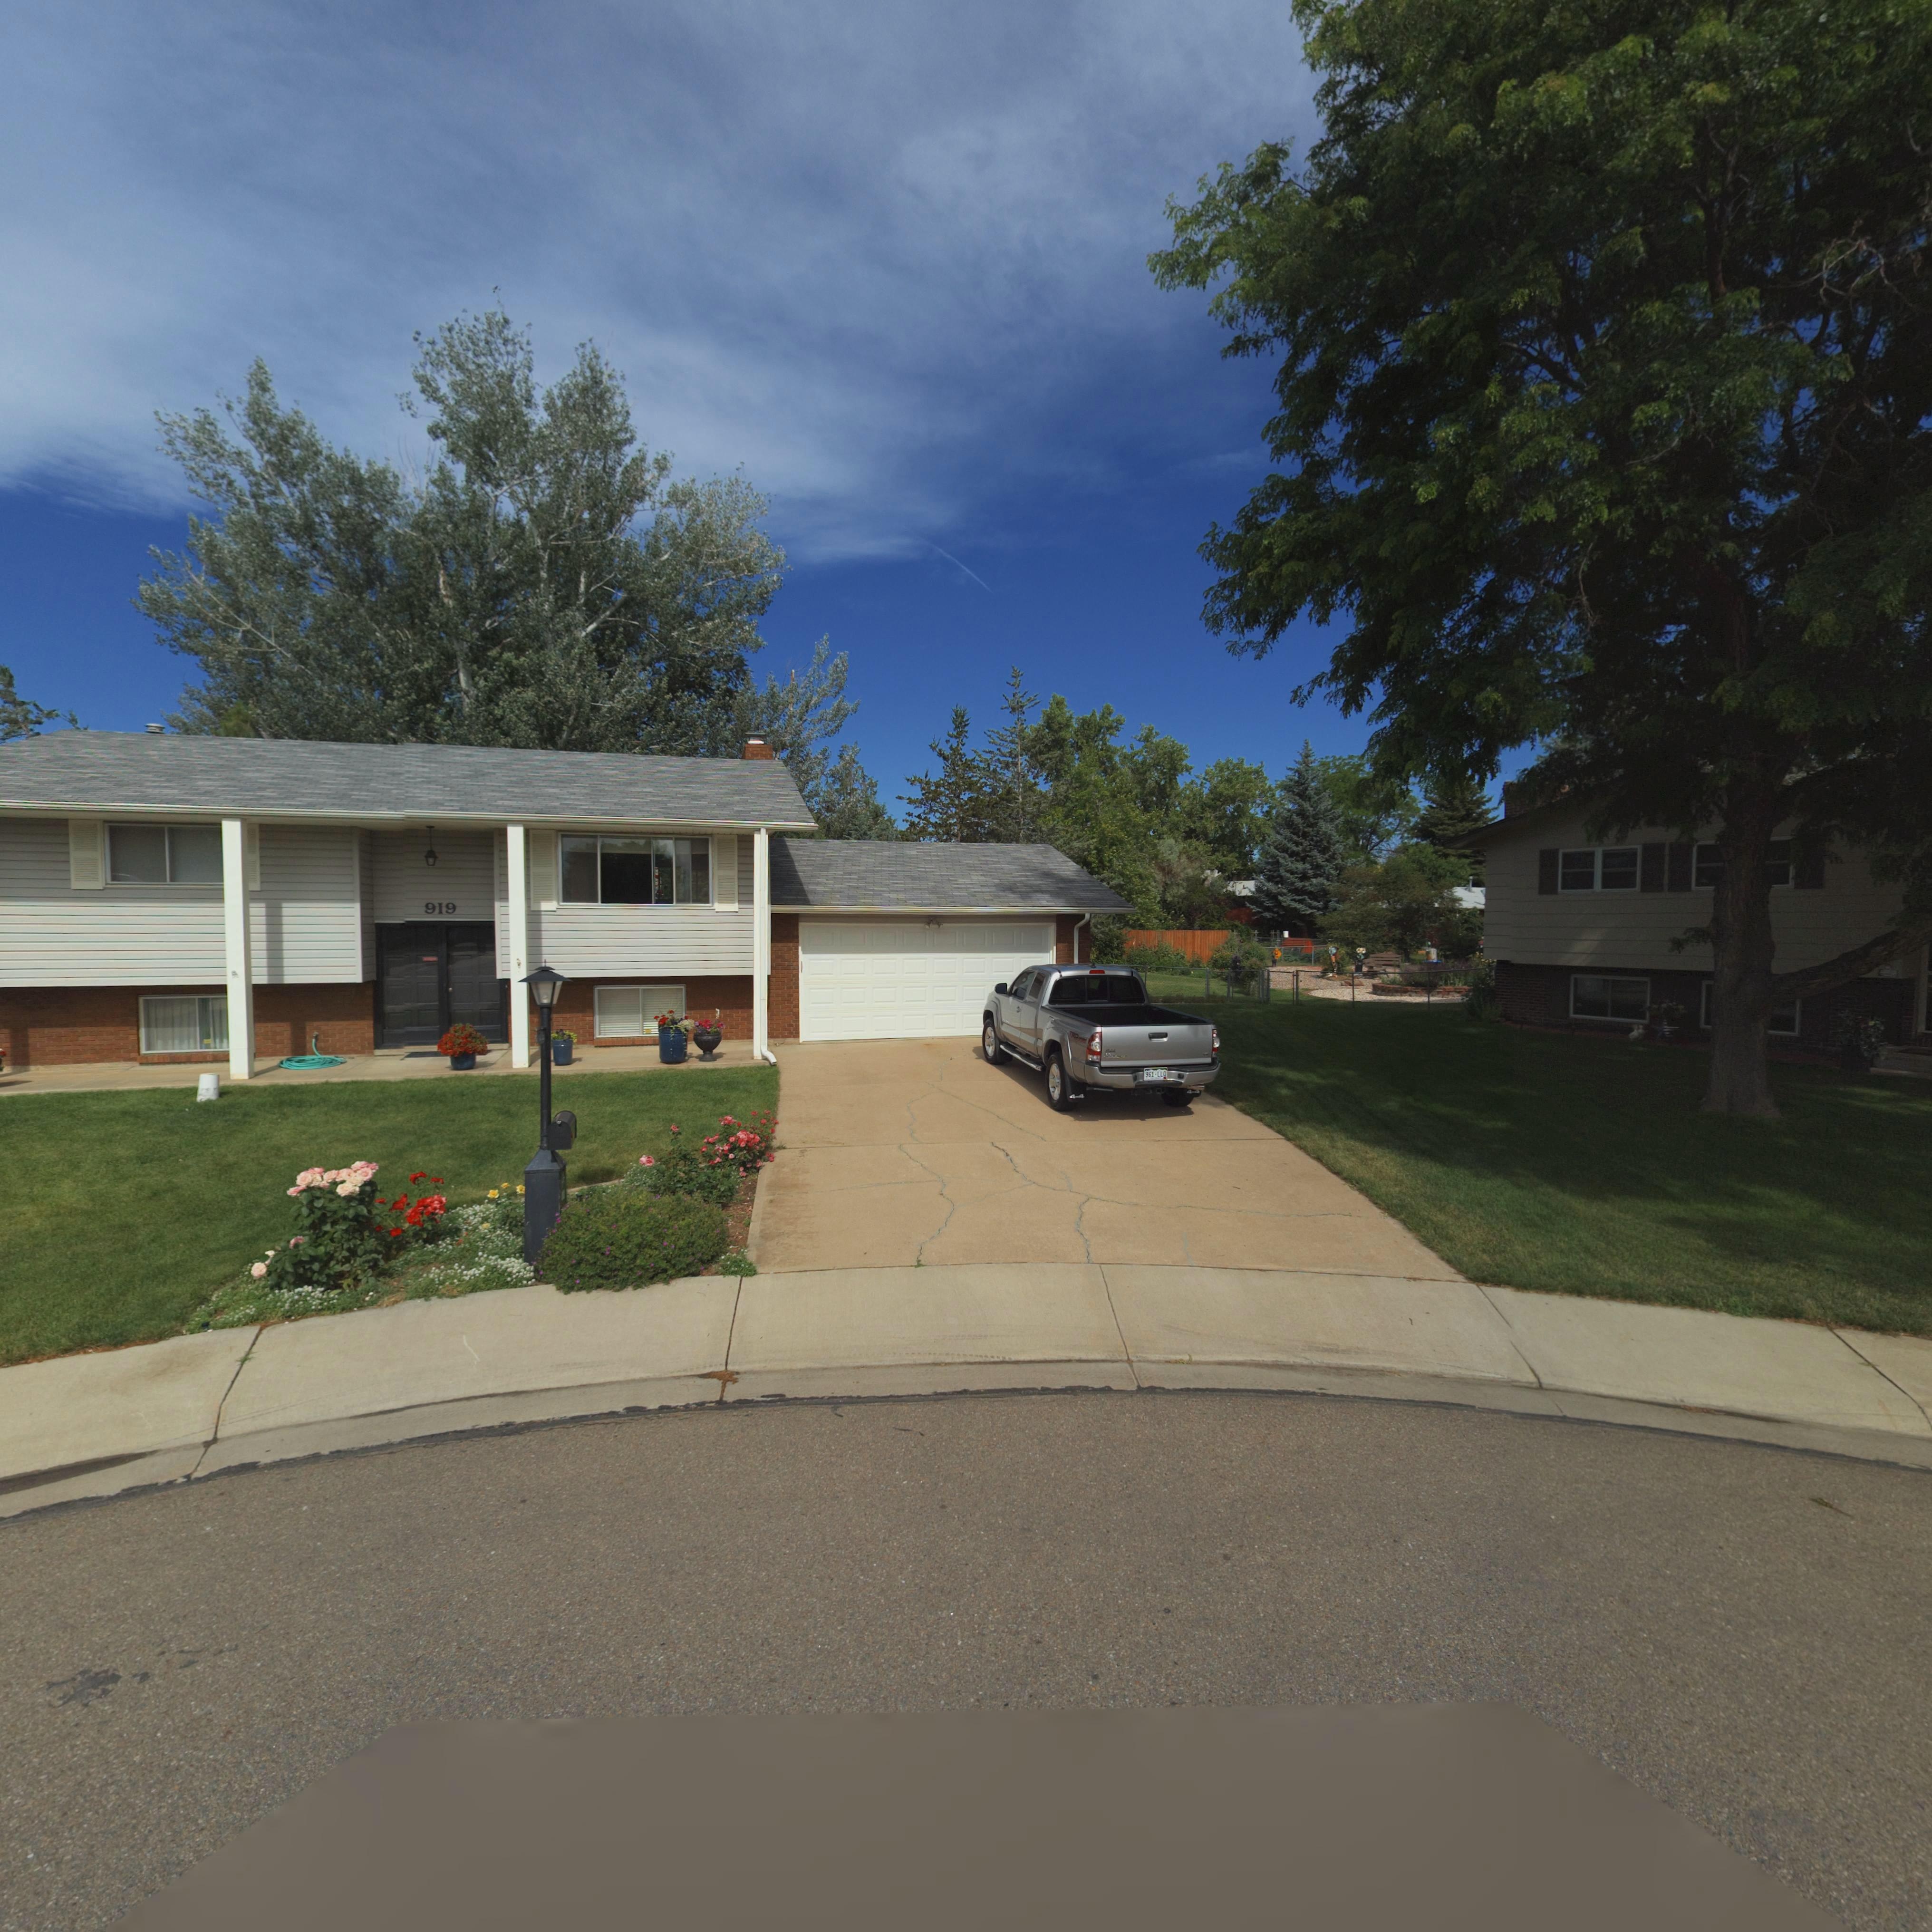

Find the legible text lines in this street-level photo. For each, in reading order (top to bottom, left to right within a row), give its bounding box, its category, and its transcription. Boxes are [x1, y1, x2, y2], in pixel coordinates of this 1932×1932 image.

[424, 902, 456, 914] StreetNumber: 919